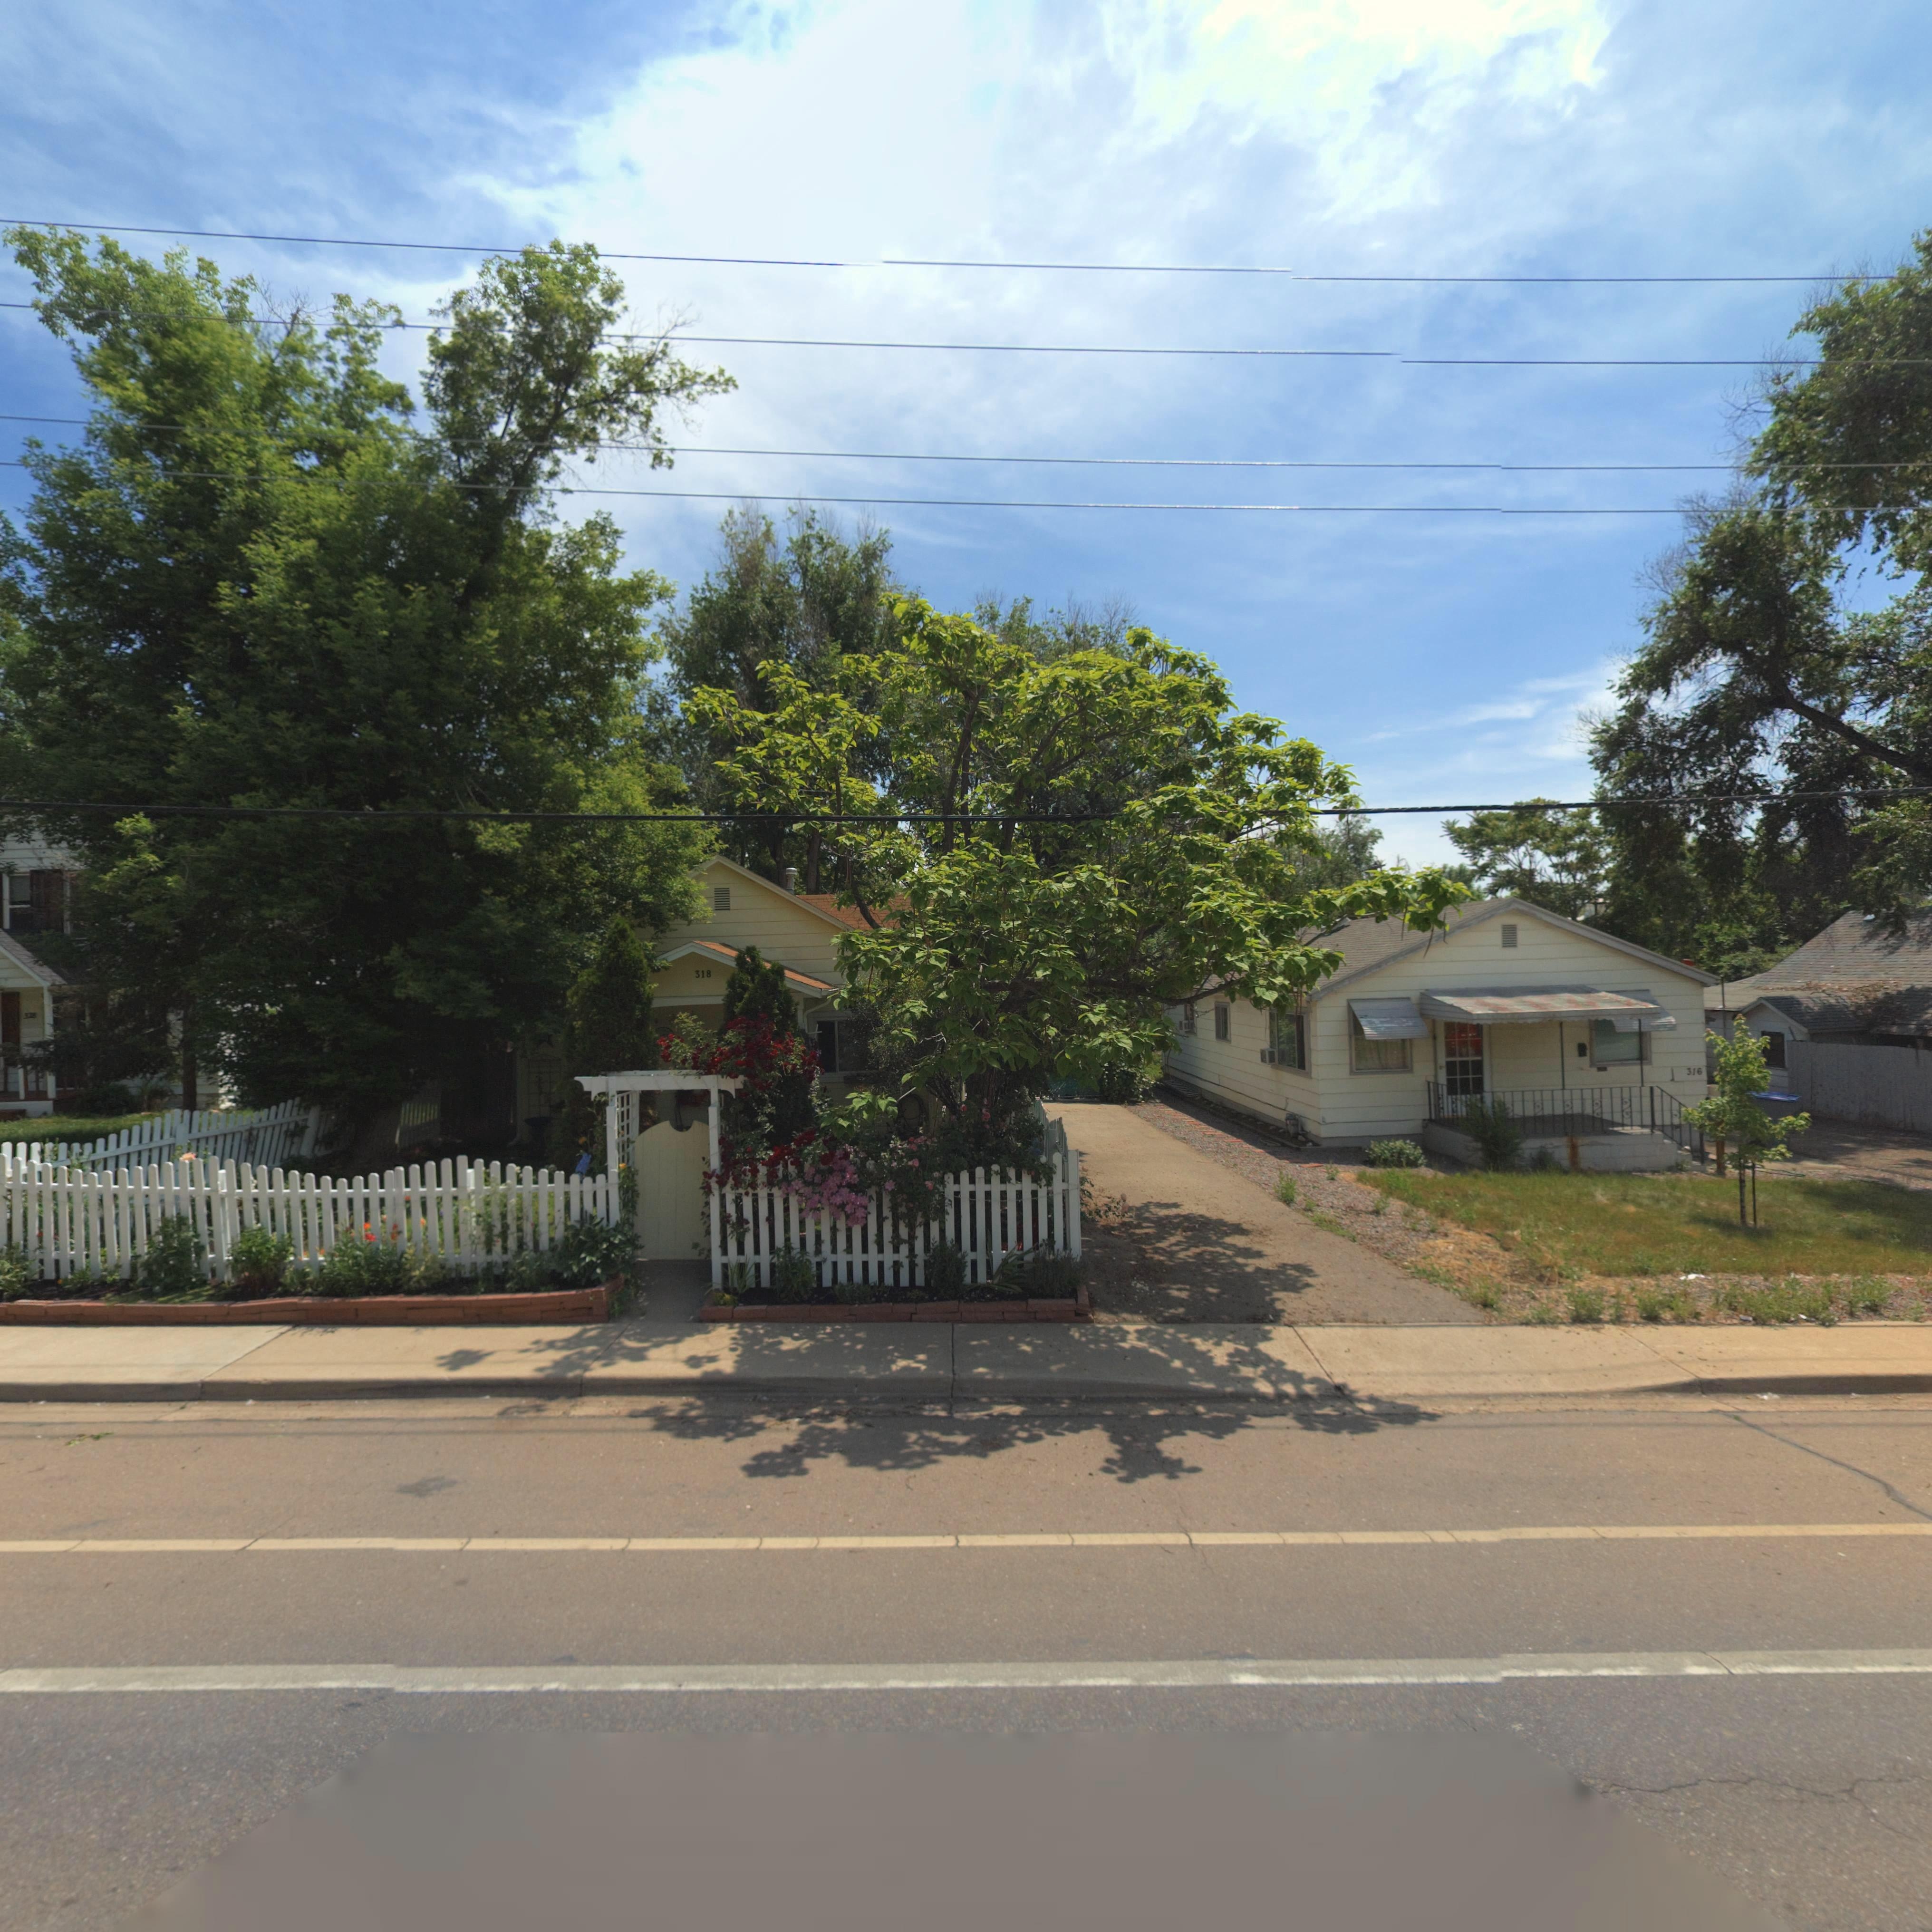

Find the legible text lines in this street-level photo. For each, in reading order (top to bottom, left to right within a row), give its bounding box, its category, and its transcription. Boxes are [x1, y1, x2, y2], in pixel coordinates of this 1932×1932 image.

[695, 969, 711, 978] StreetNumber: 318
[22, 1012, 37, 1019] StreetNumber: 328
[1686, 1067, 1702, 1075] StreetNumber: 316